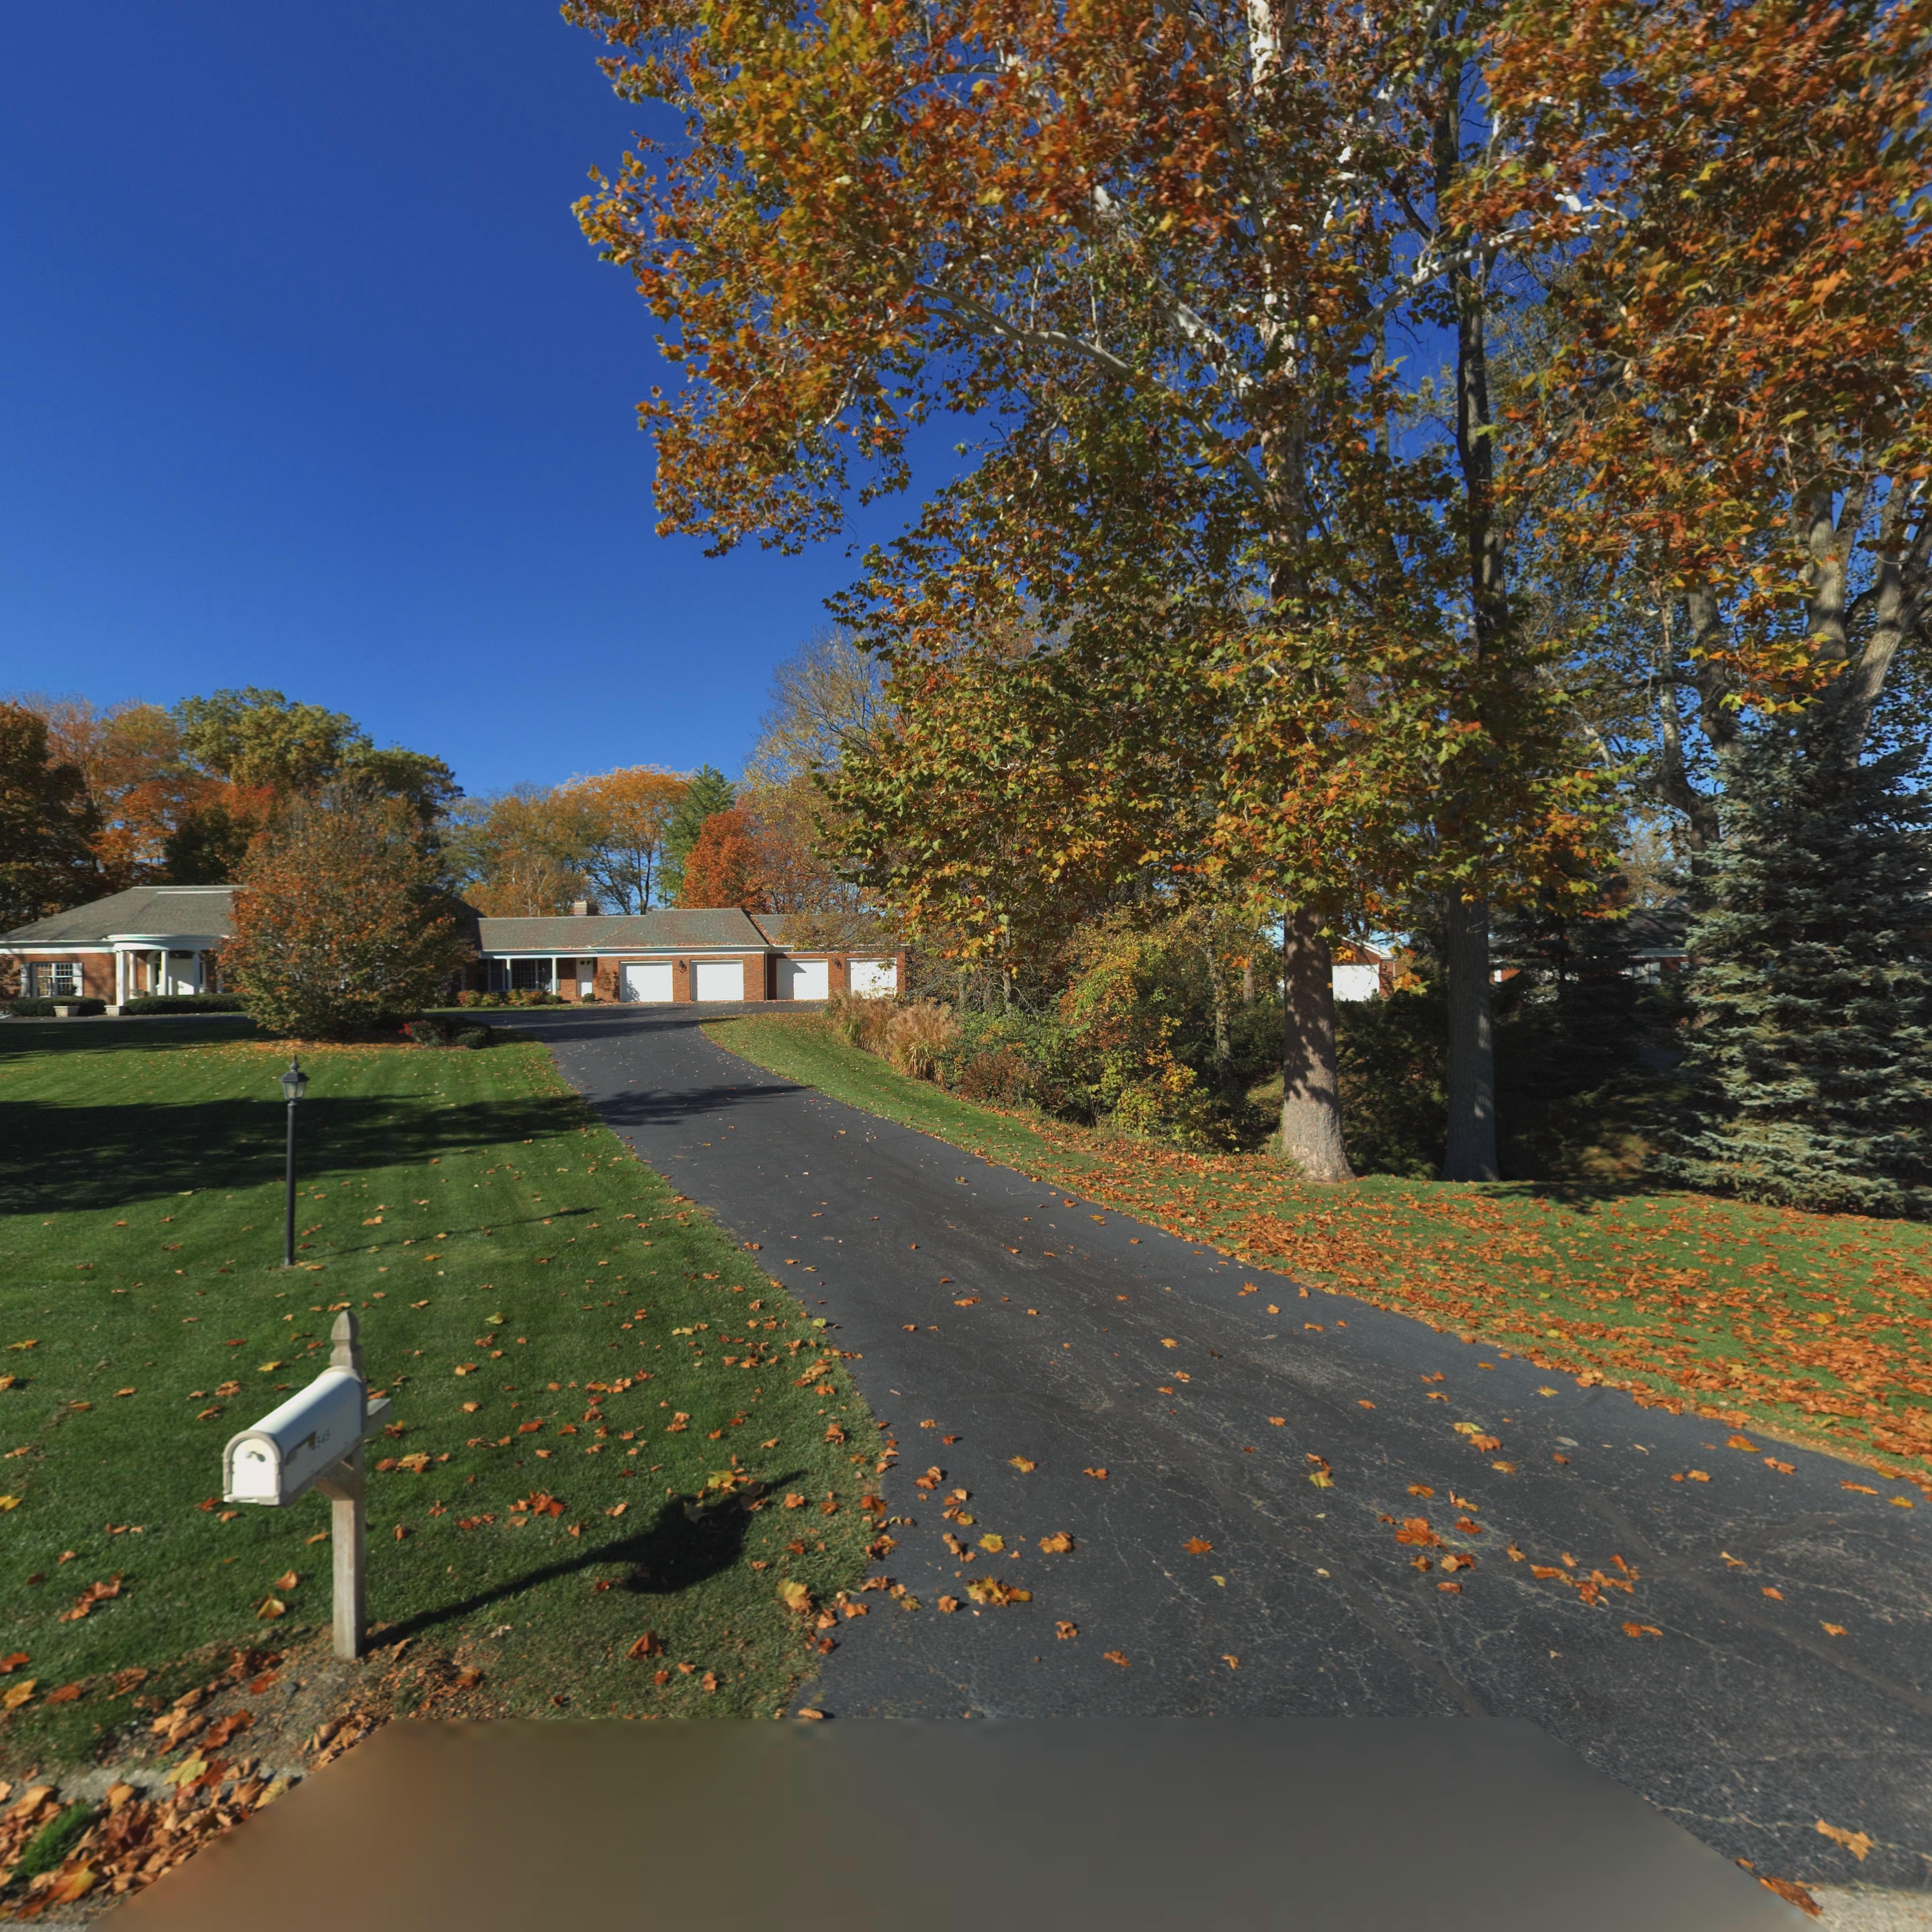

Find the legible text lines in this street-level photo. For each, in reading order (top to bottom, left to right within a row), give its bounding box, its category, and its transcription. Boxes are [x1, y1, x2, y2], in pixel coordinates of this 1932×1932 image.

[310, 1429, 331, 1453] StreetNumber: *545